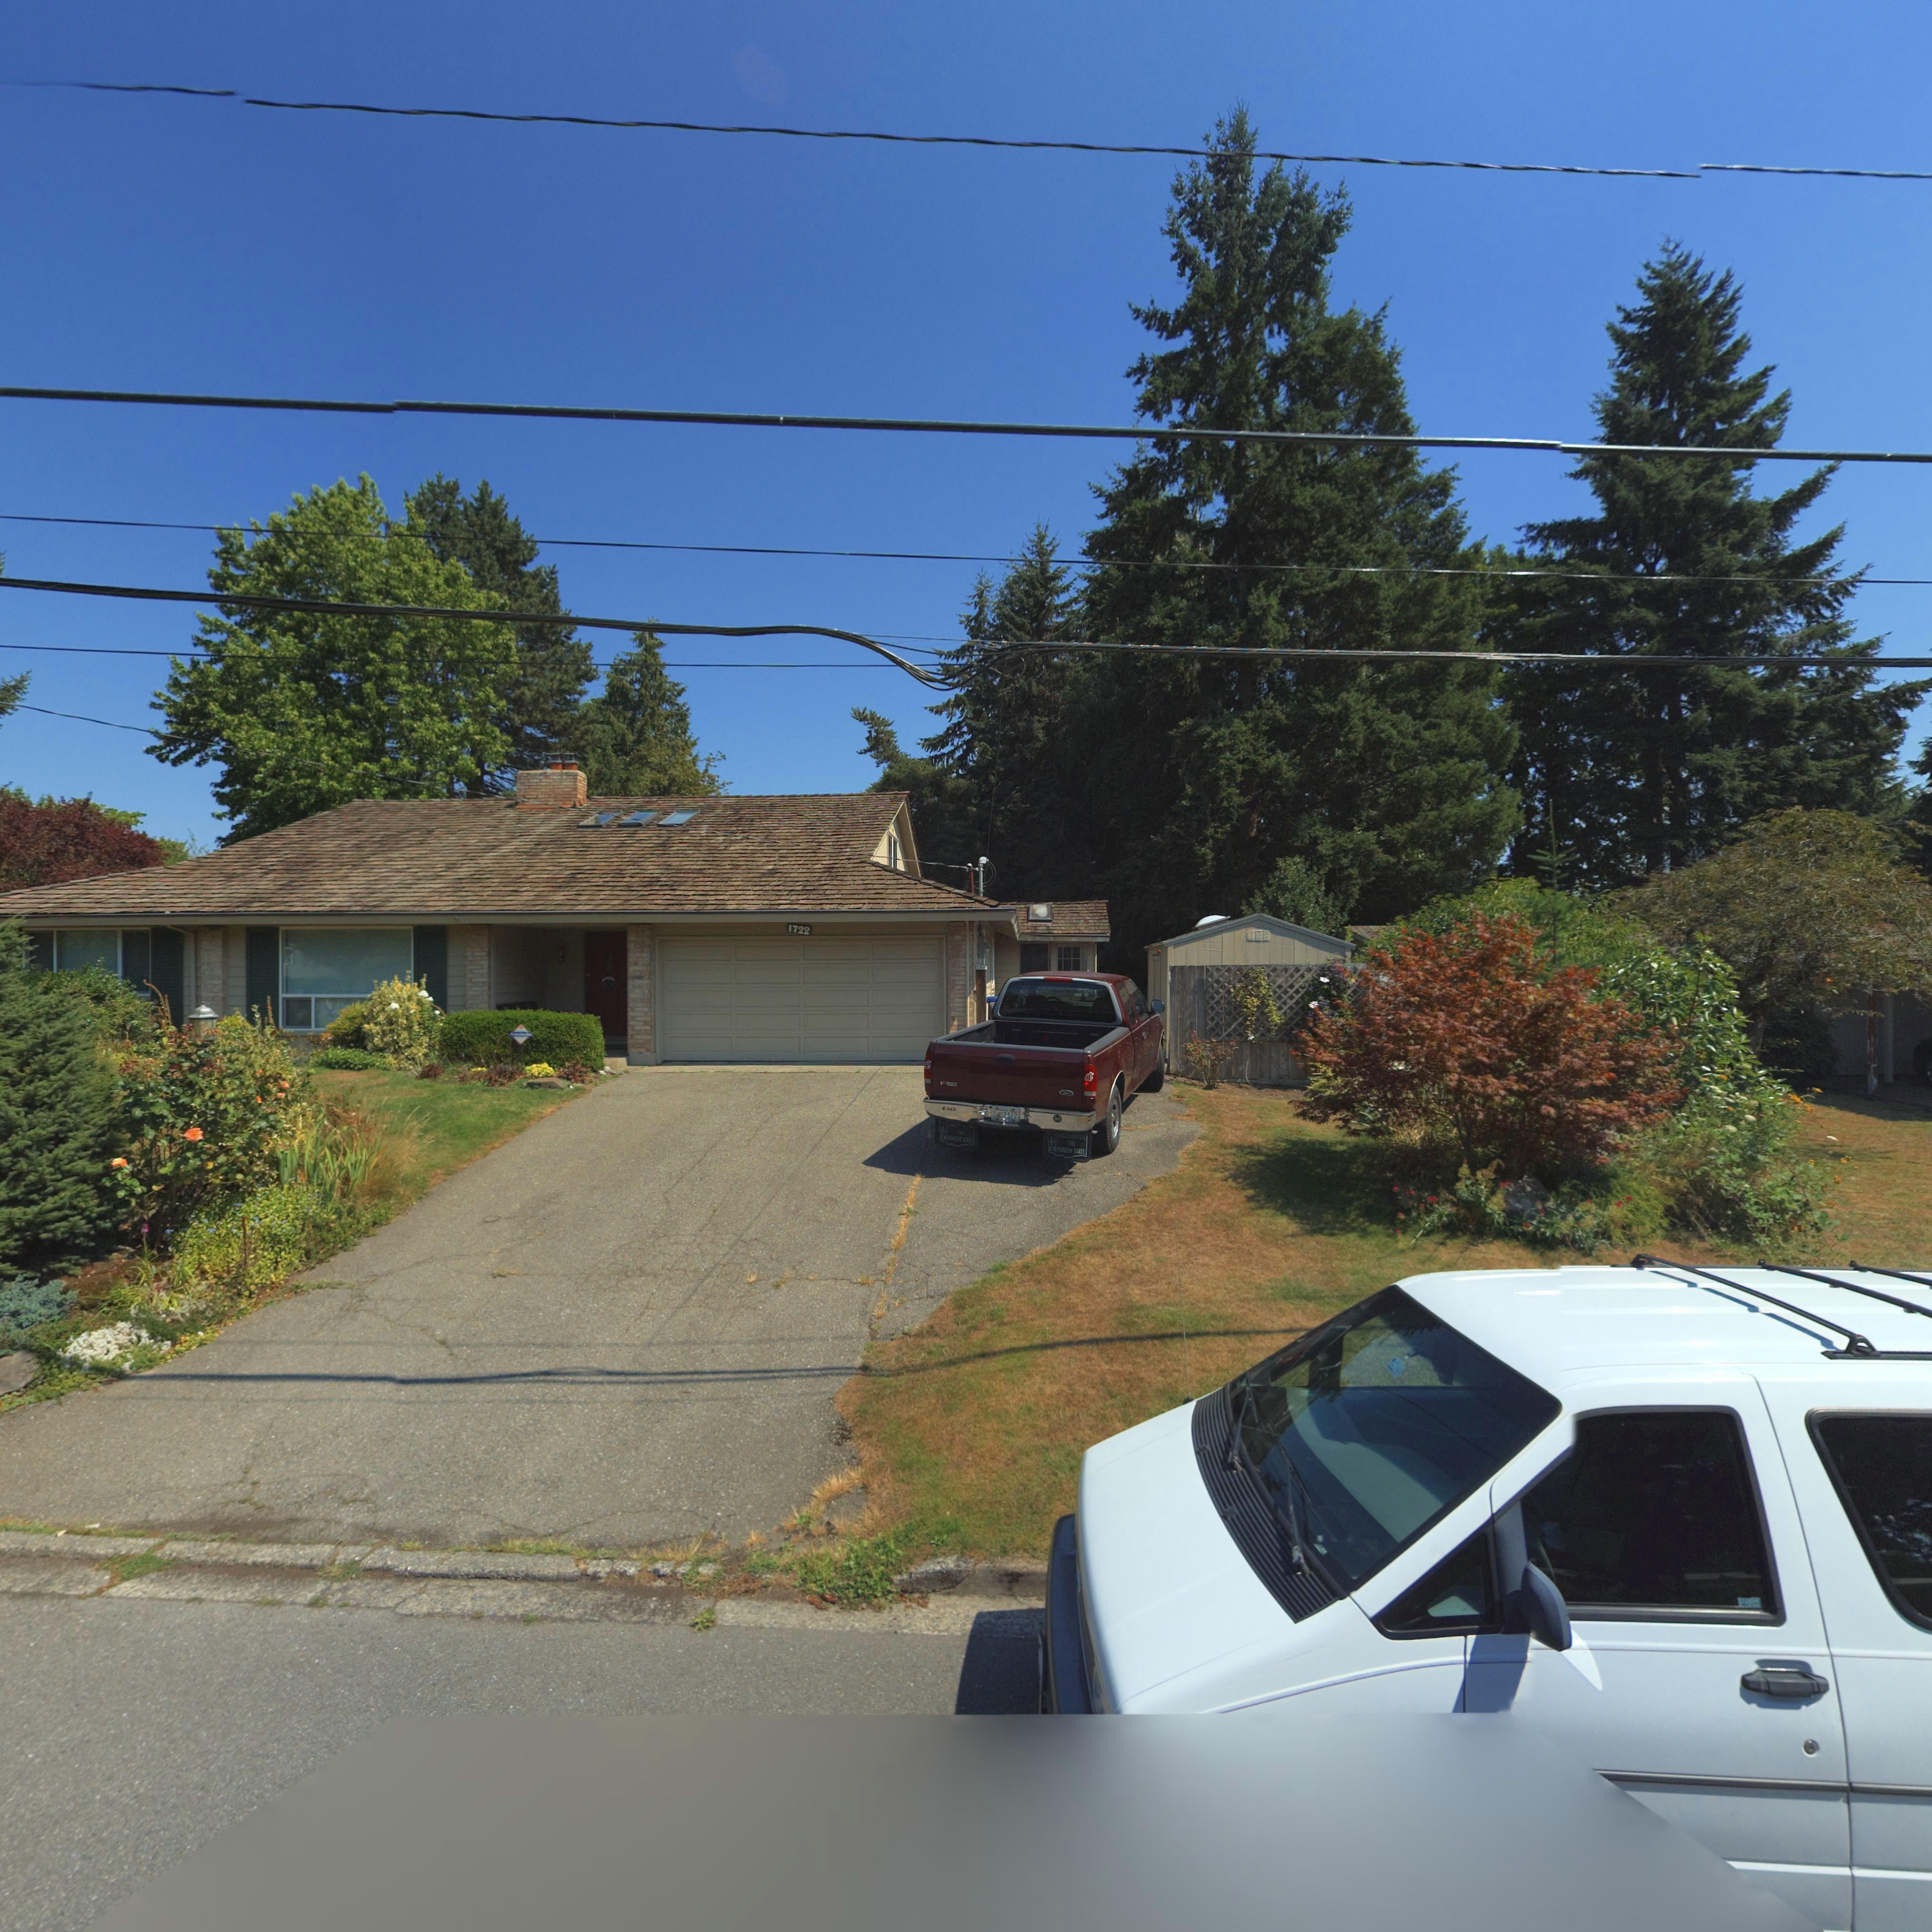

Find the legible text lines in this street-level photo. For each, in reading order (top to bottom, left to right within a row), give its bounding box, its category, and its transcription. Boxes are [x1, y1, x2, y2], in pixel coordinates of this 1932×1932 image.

[788, 923, 810, 936] StreetName: 1722